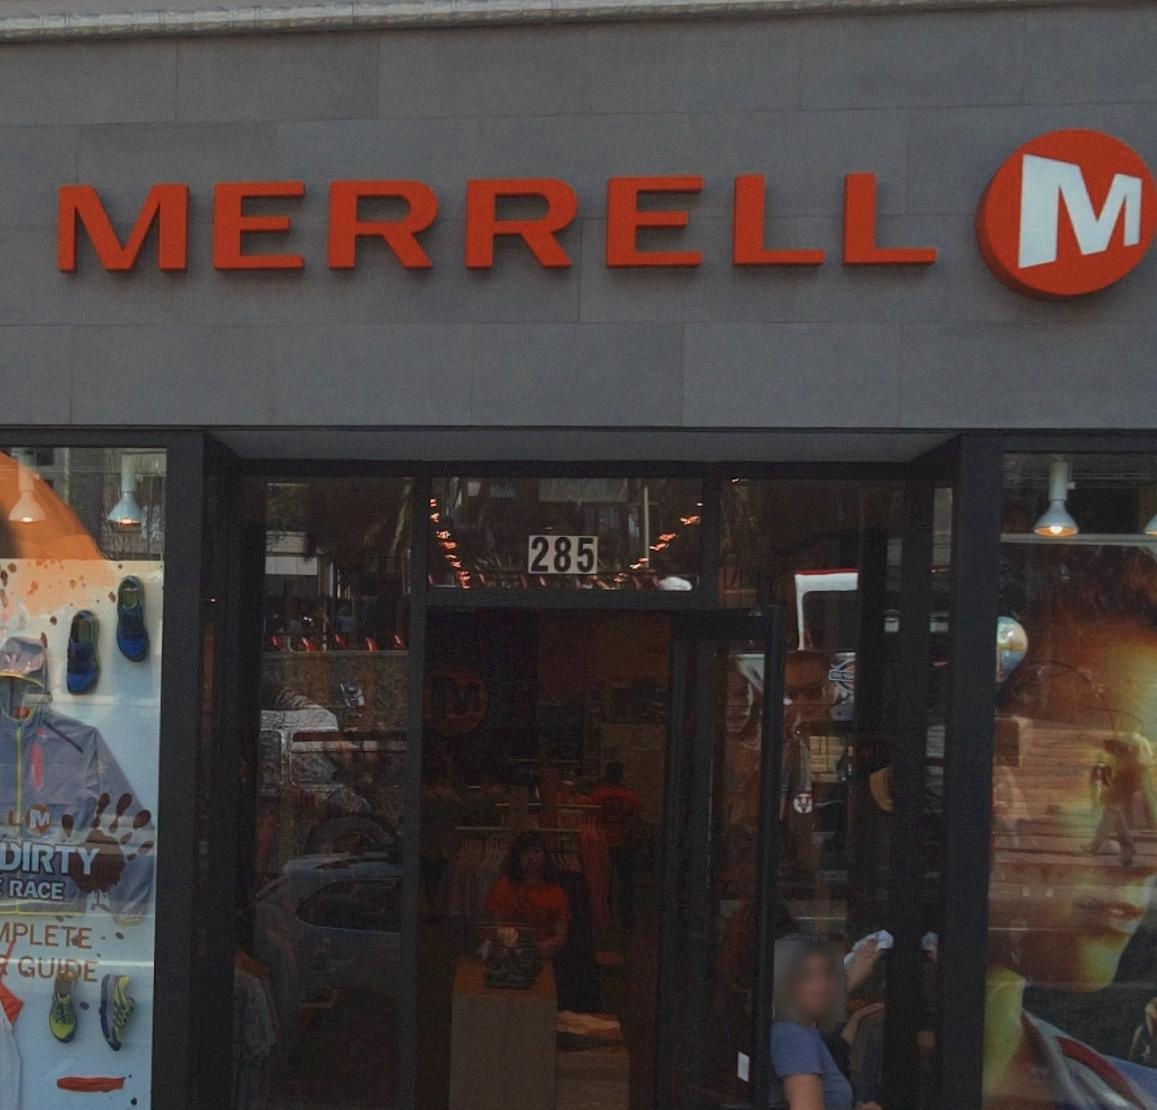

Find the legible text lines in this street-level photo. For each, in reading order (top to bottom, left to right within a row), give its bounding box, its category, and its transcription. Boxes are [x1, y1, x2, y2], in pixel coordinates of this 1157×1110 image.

[56, 167, 940, 280] BusinessName: MERREL
[1014, 148, 1146, 277] None: M
[529, 534, 596, 574] StreetNumber: 285
[6, 808, 25, 827] None: L
[29, 808, 51, 831] None: M
[0, 839, 104, 877] None: DIRTY
[8, 877, 67, 903] None: RACE
[9, 920, 93, 951] None: PLETE
[17, 954, 99, 984] None: GUIDE